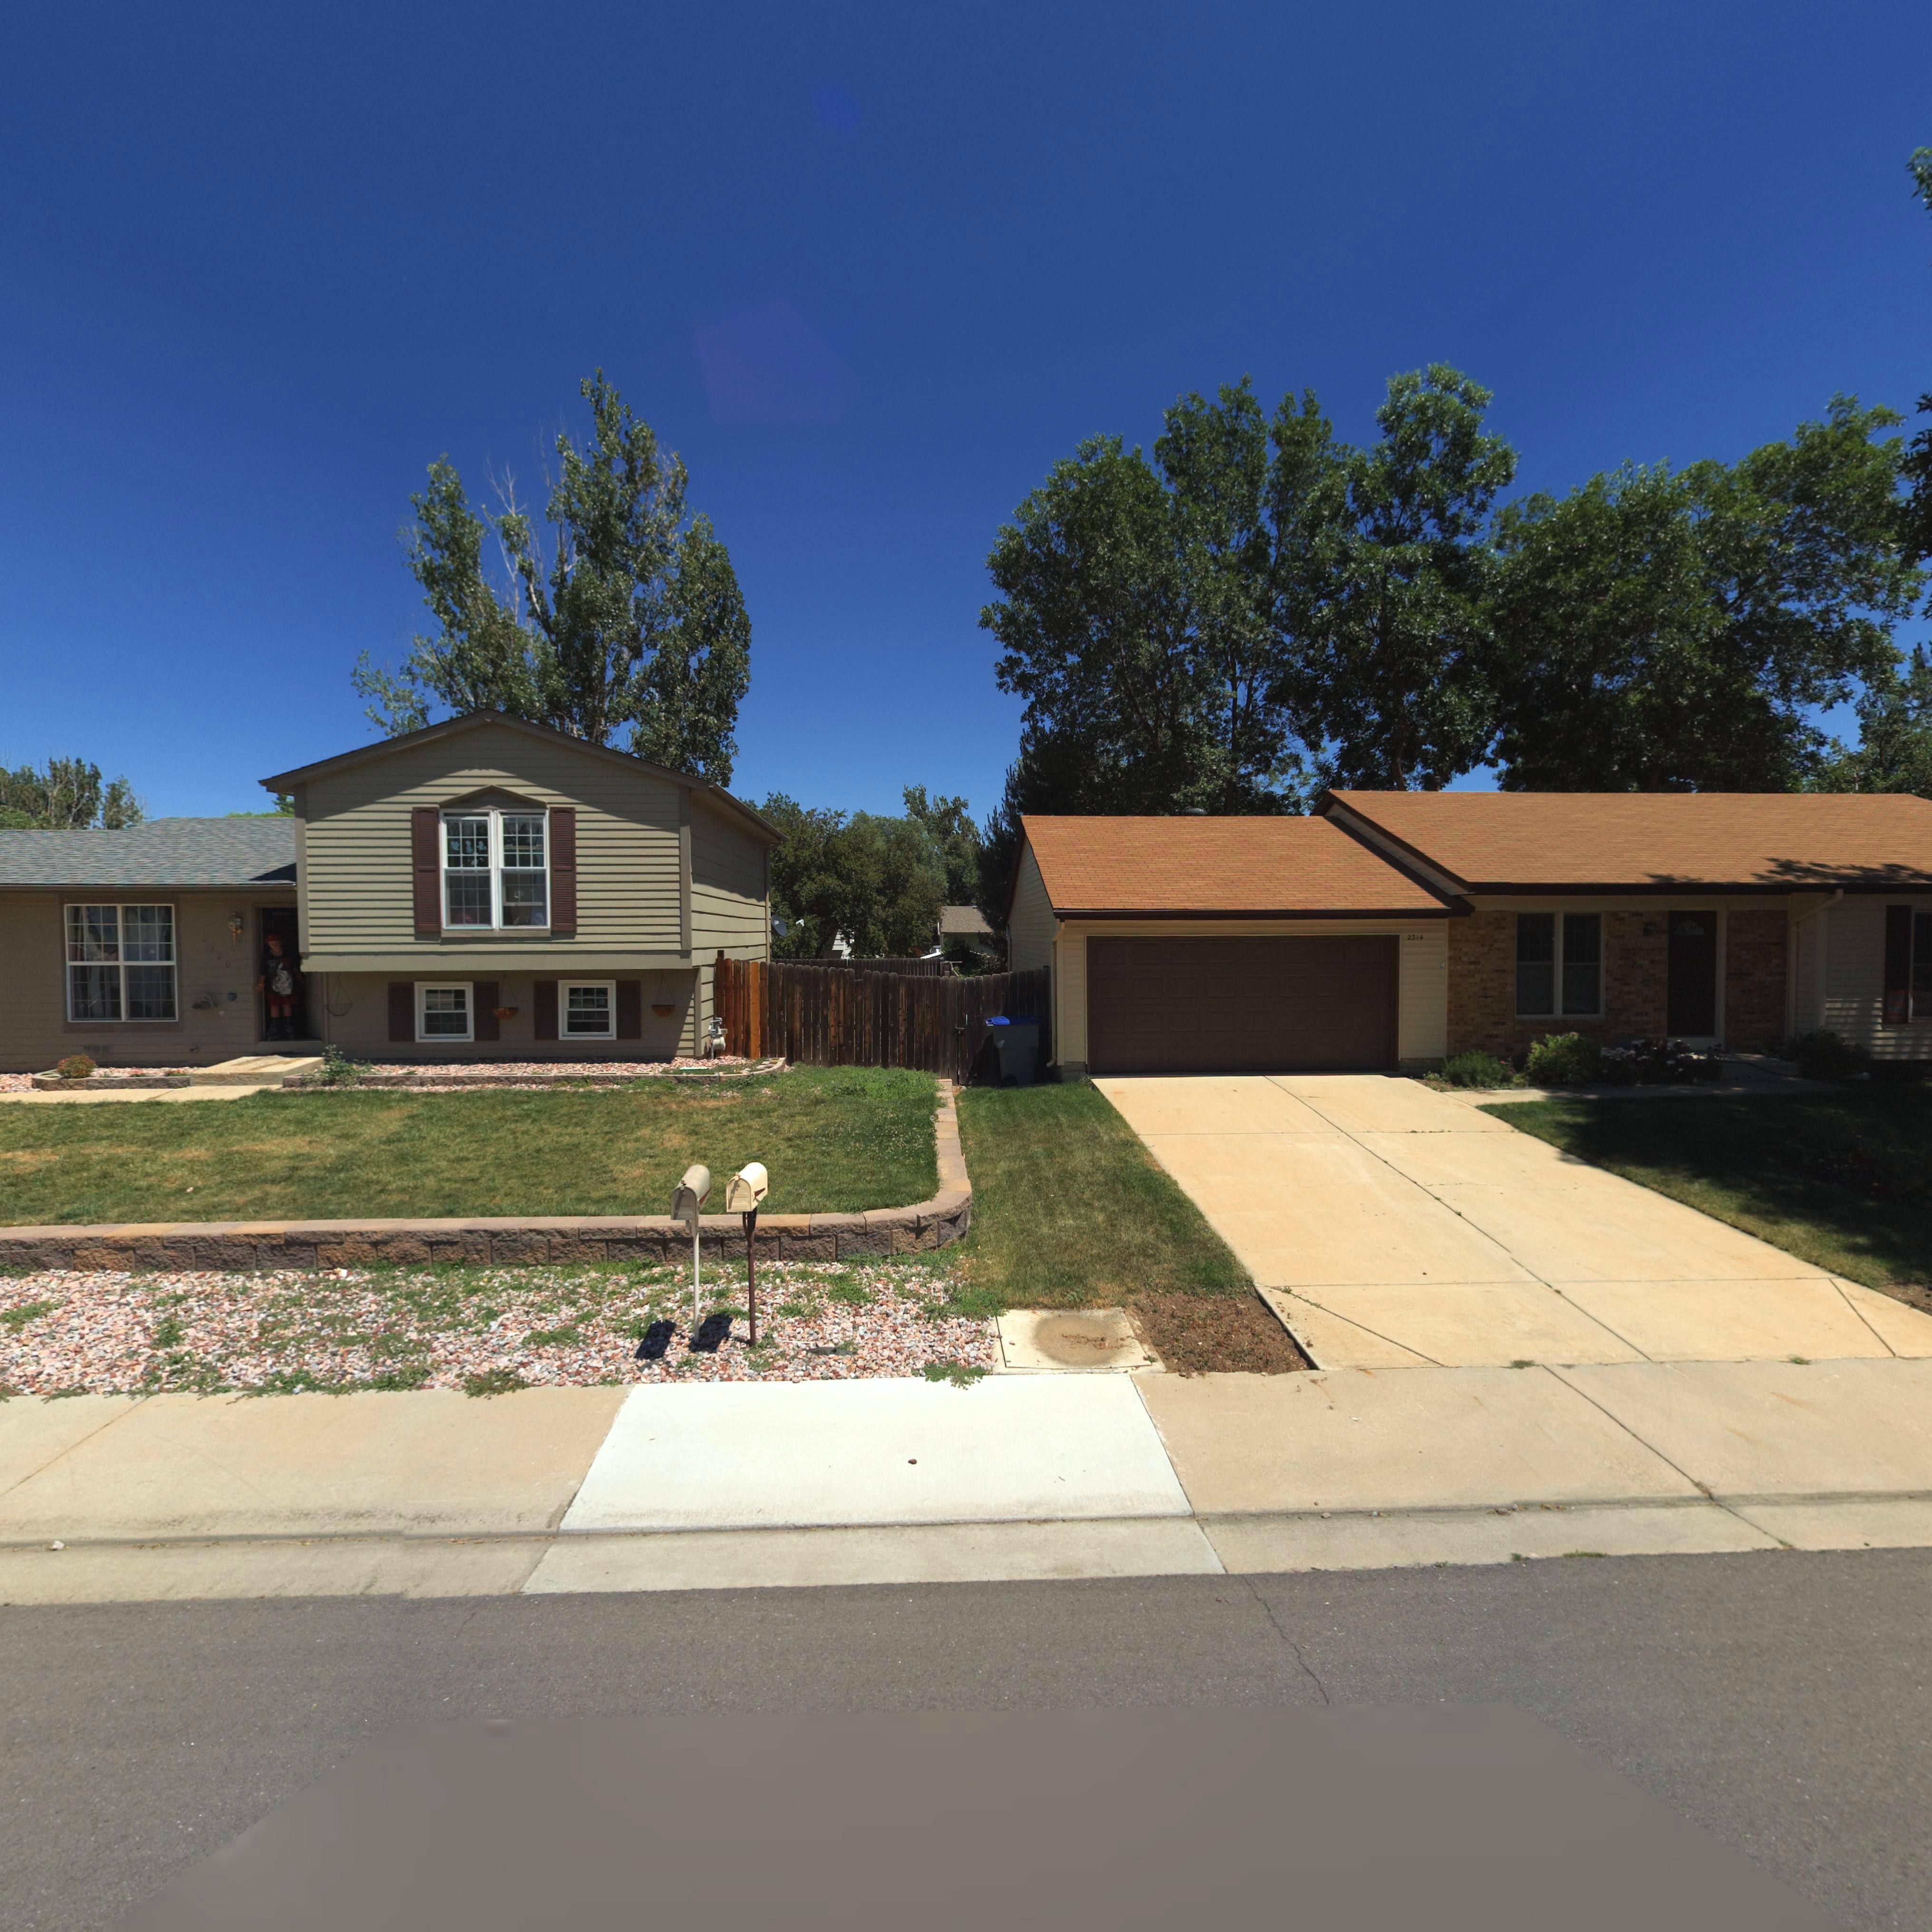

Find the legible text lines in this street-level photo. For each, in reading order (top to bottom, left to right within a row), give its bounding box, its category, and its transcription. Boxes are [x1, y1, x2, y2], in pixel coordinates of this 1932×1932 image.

[202, 934, 232, 968] StreetNumber: 2320
[1406, 934, 1424, 941] StreetNumber: 2314